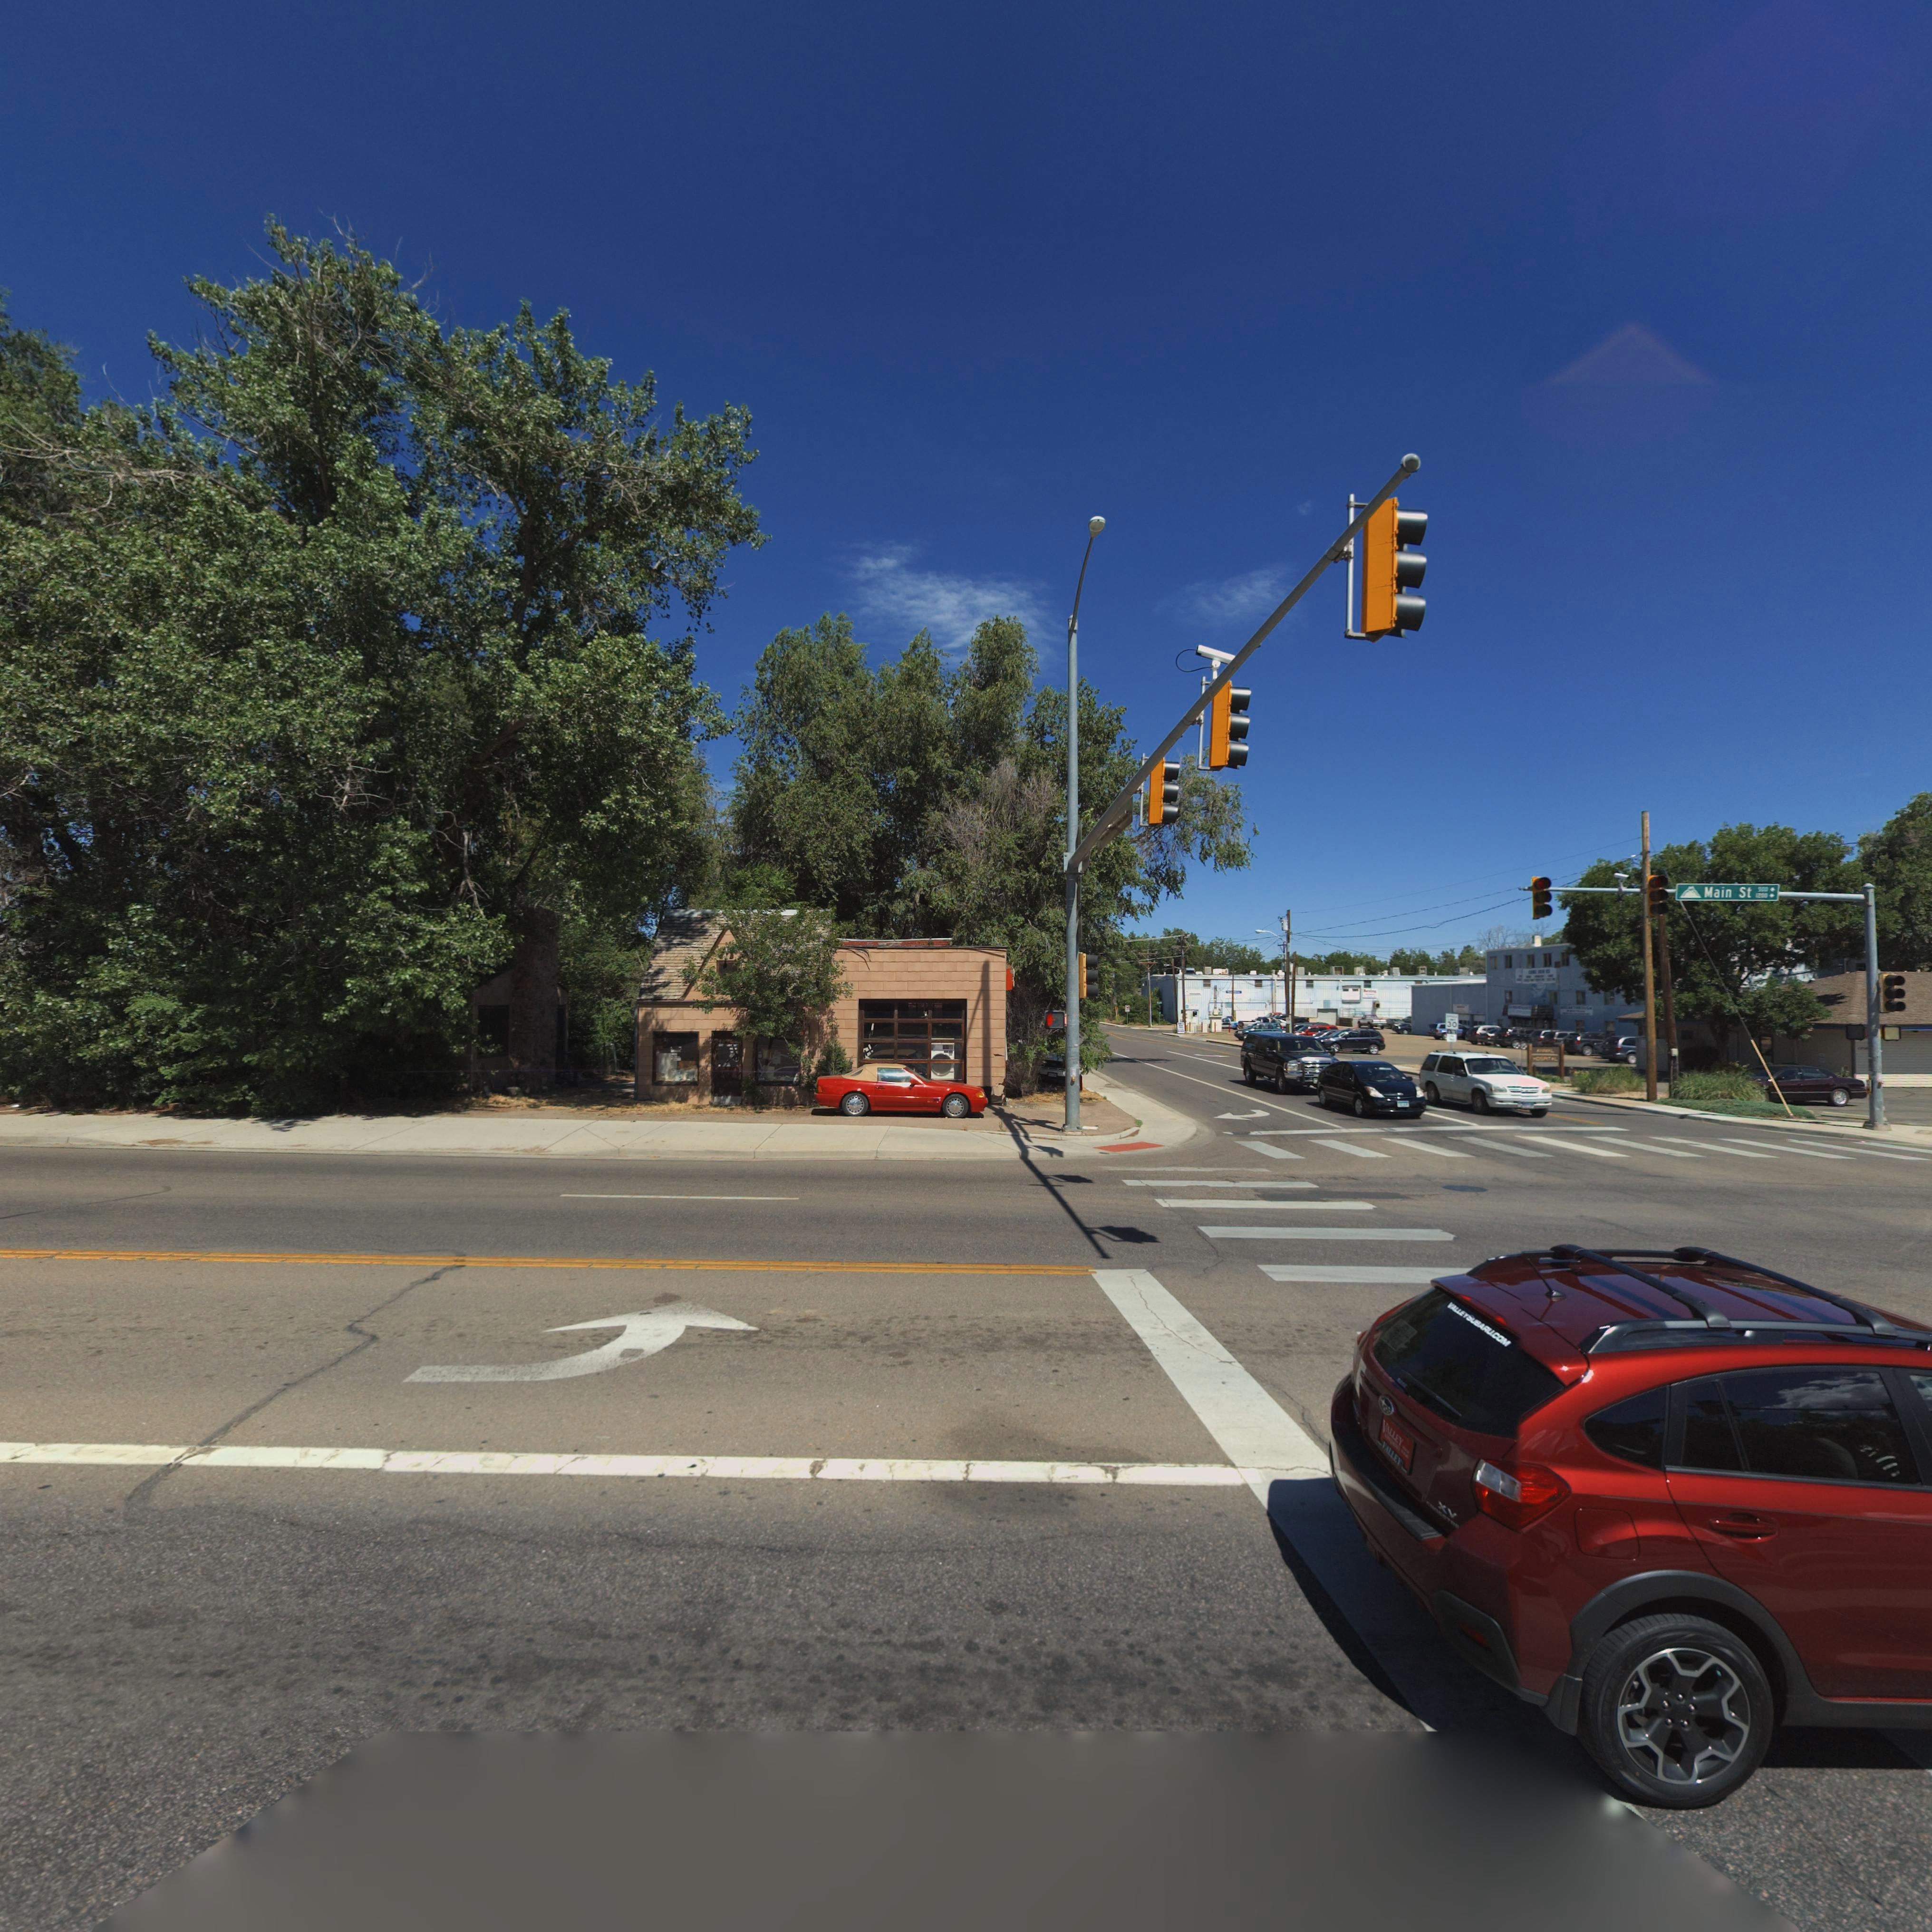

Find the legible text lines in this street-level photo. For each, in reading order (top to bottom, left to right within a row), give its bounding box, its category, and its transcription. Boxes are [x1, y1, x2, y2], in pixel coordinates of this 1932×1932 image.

[1703, 886, 1752, 898] StreetName: Main St
[1757, 886, 1768, 892] StreetNumberRange: 300
[1755, 893, 1768, 898] StreetNumberRange: 1200